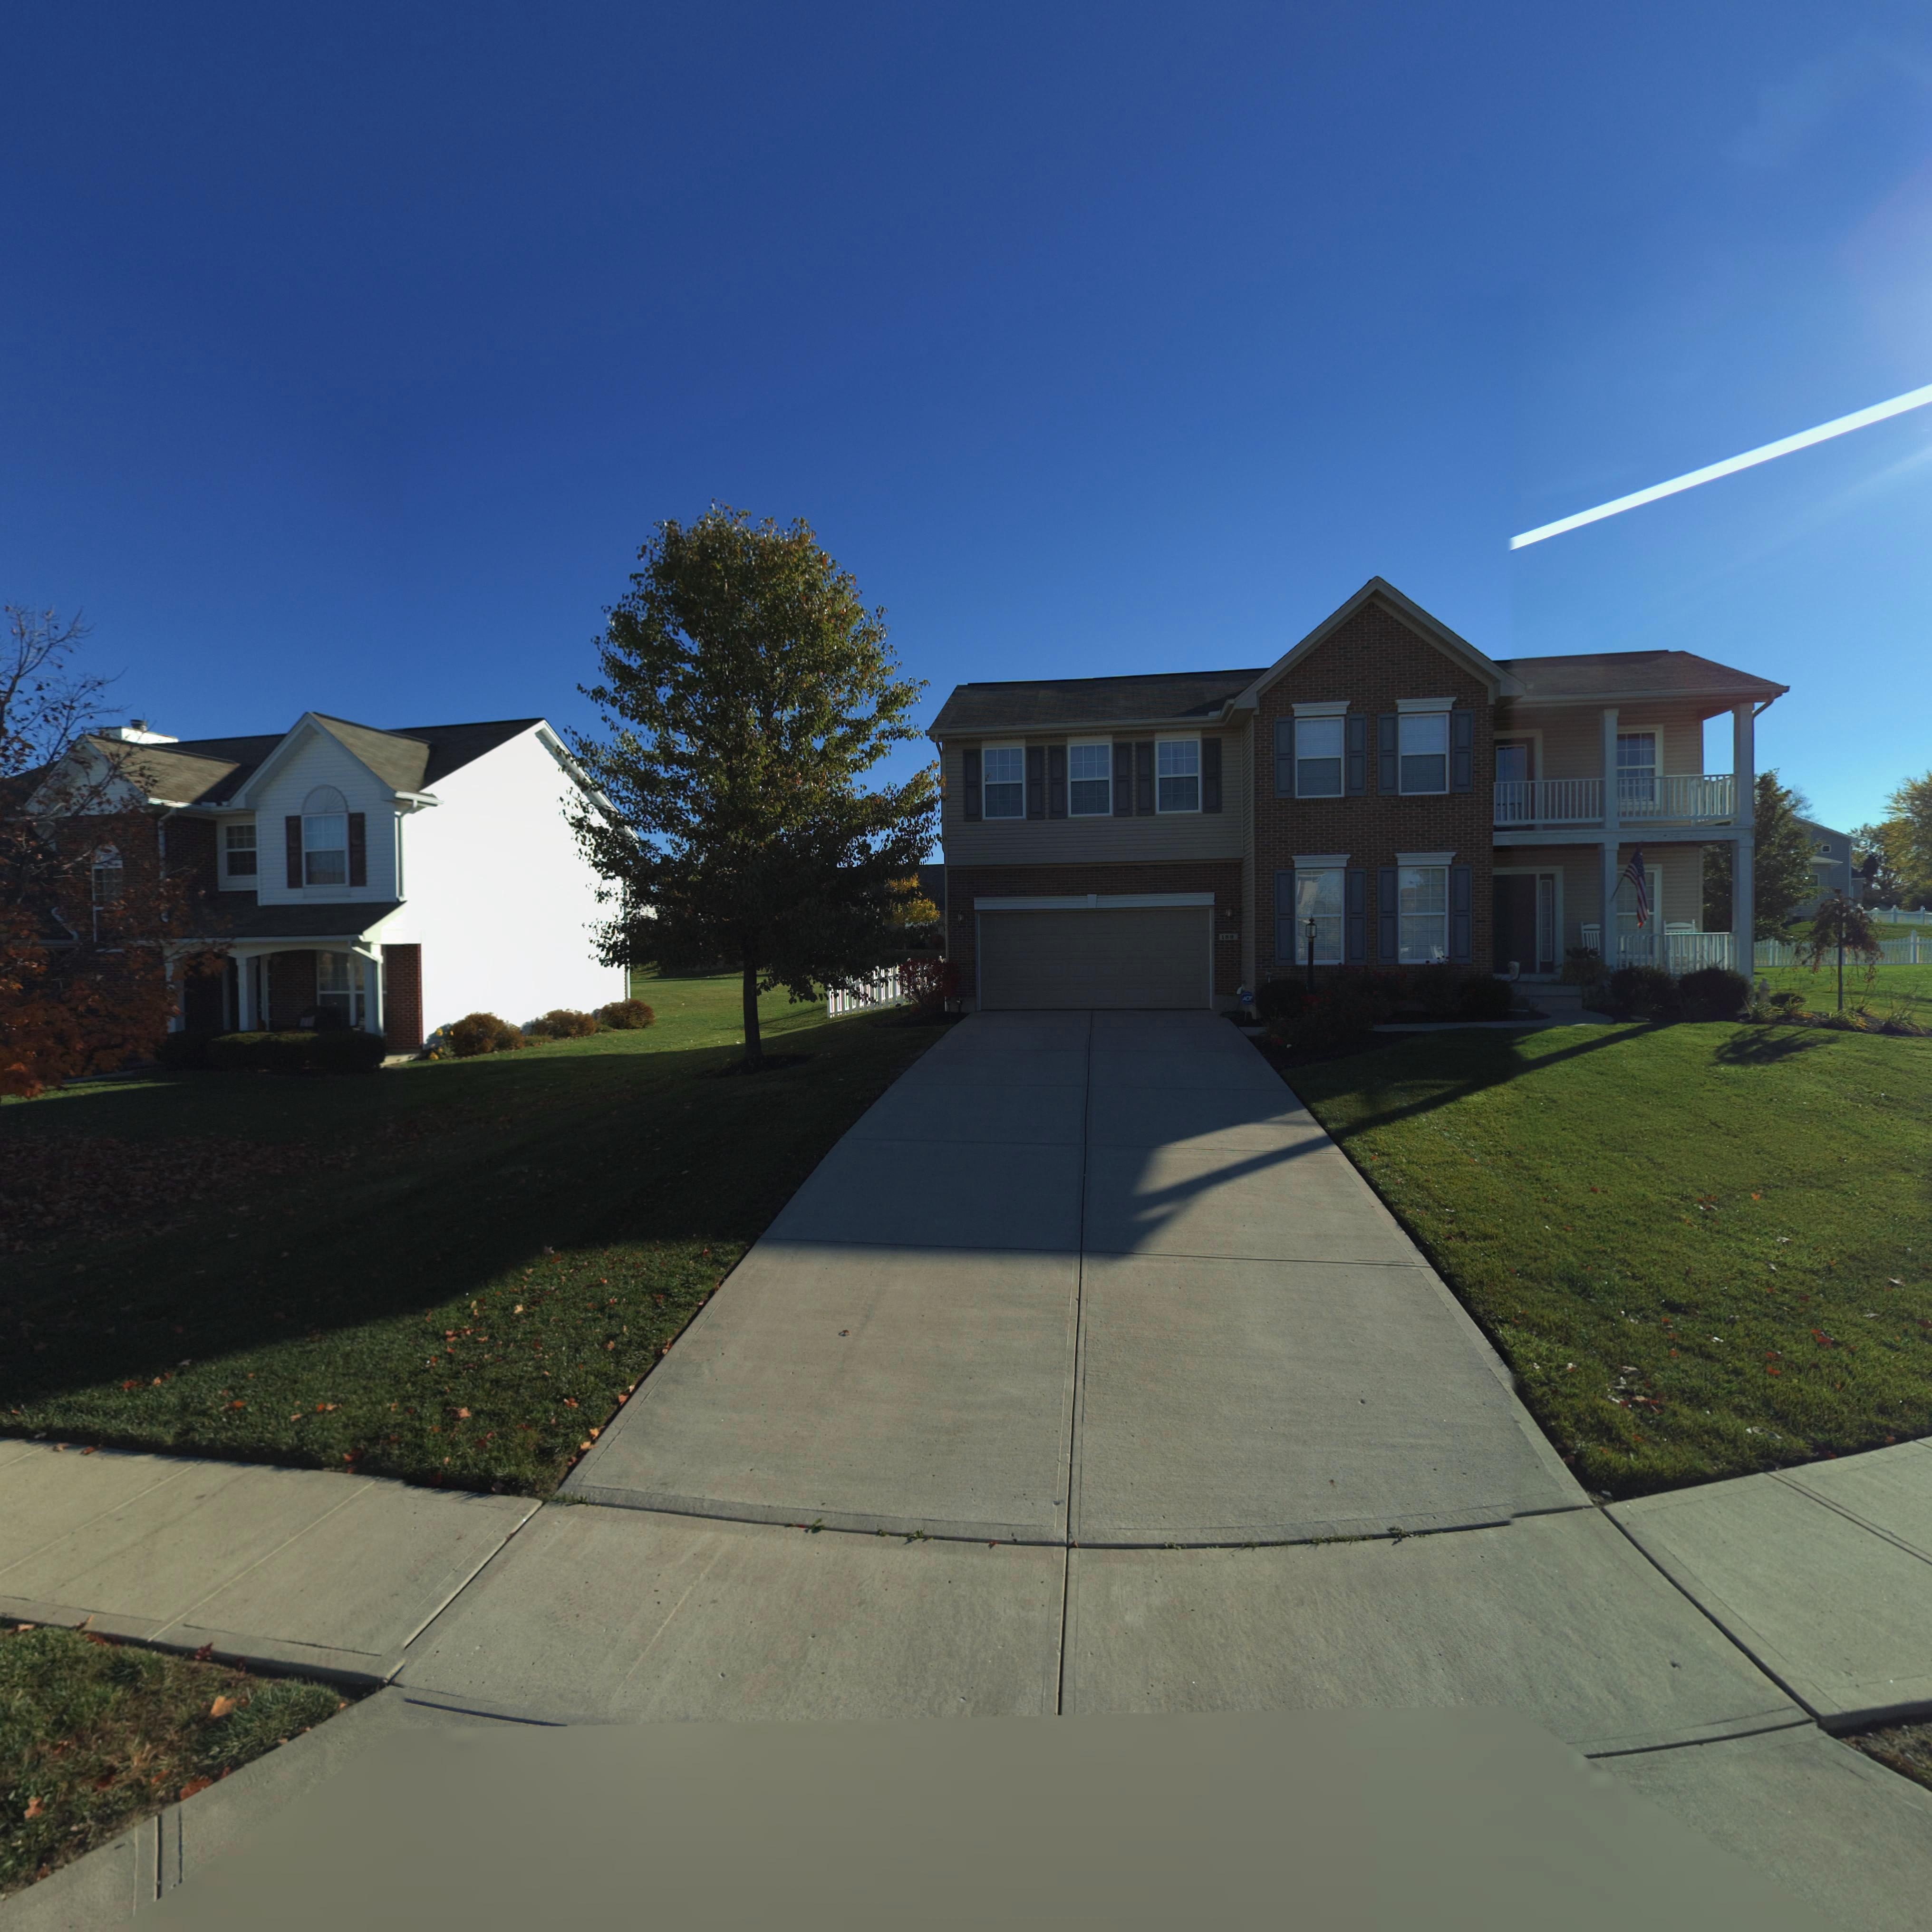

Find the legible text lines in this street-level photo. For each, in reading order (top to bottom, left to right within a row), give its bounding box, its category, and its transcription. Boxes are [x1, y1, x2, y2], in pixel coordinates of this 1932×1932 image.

[1221, 934, 1235, 940] StreetNumber: 189